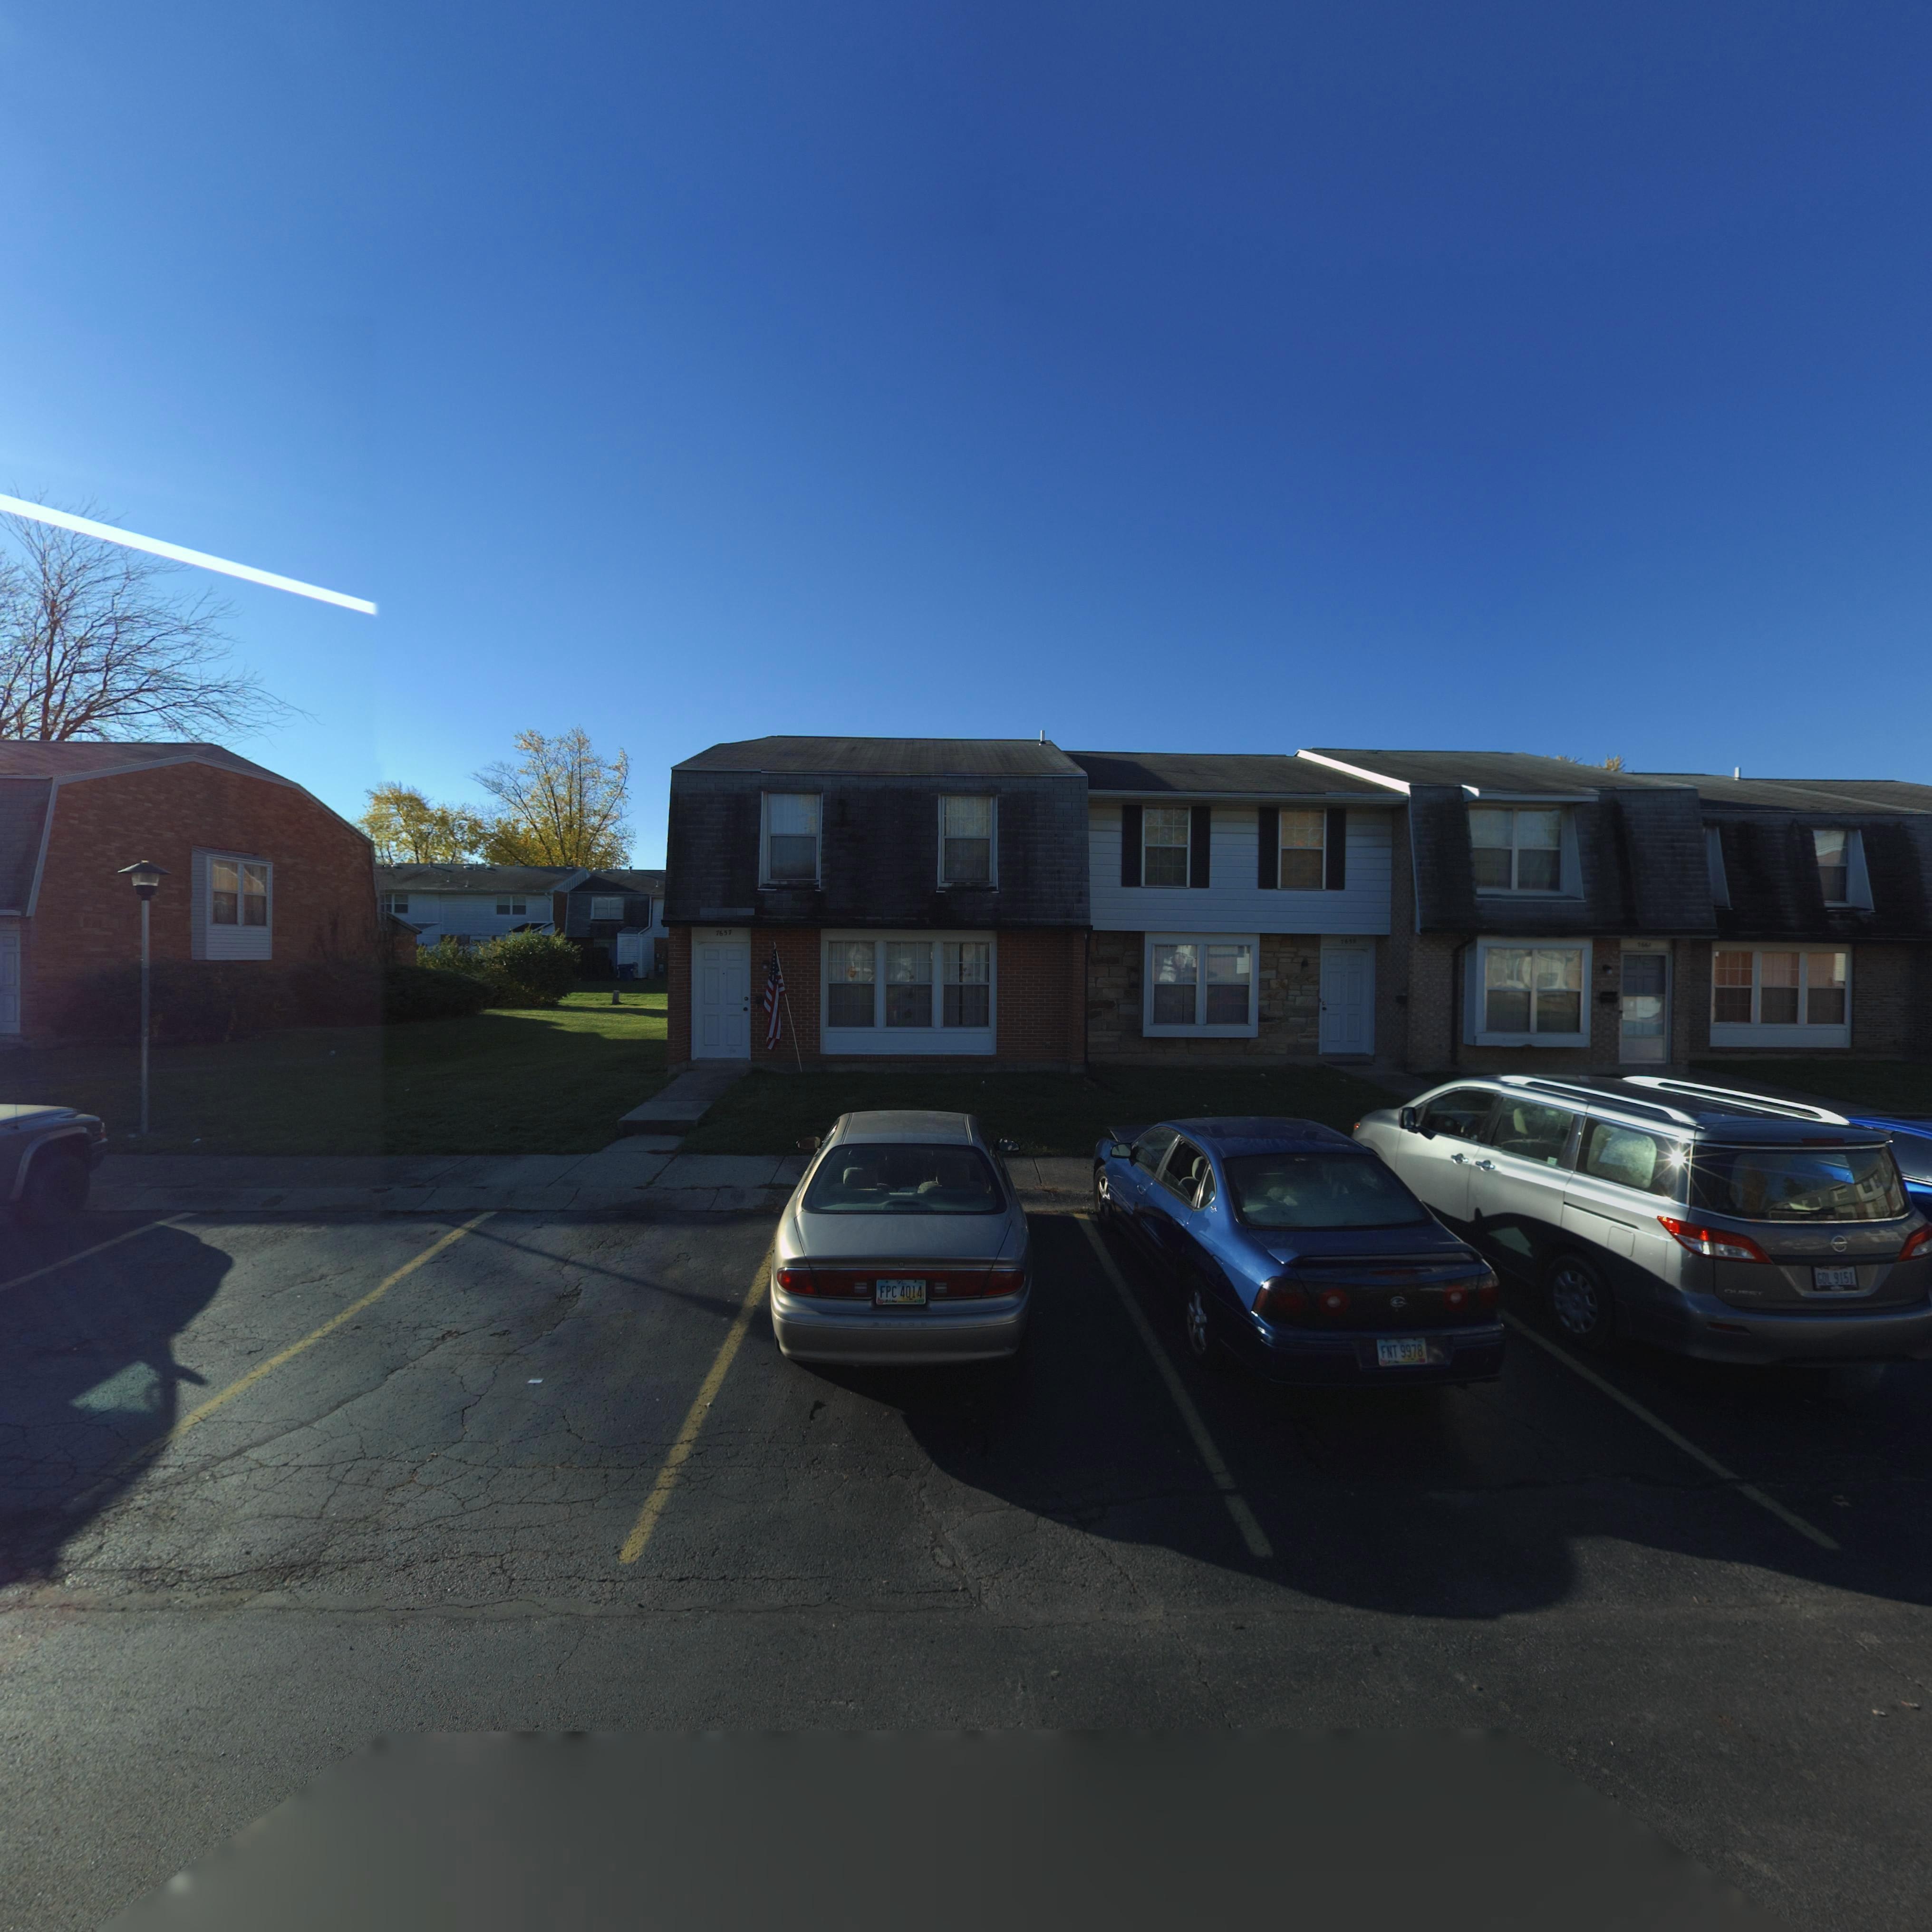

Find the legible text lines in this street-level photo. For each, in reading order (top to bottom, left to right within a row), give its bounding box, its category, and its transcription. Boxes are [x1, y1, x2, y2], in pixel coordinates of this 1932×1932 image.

[715, 928, 734, 937] StreetNumber: 7657
[1339, 938, 1358, 945] StreetNumber: 7659
[1636, 941, 1652, 948] StreetNumber: 7661